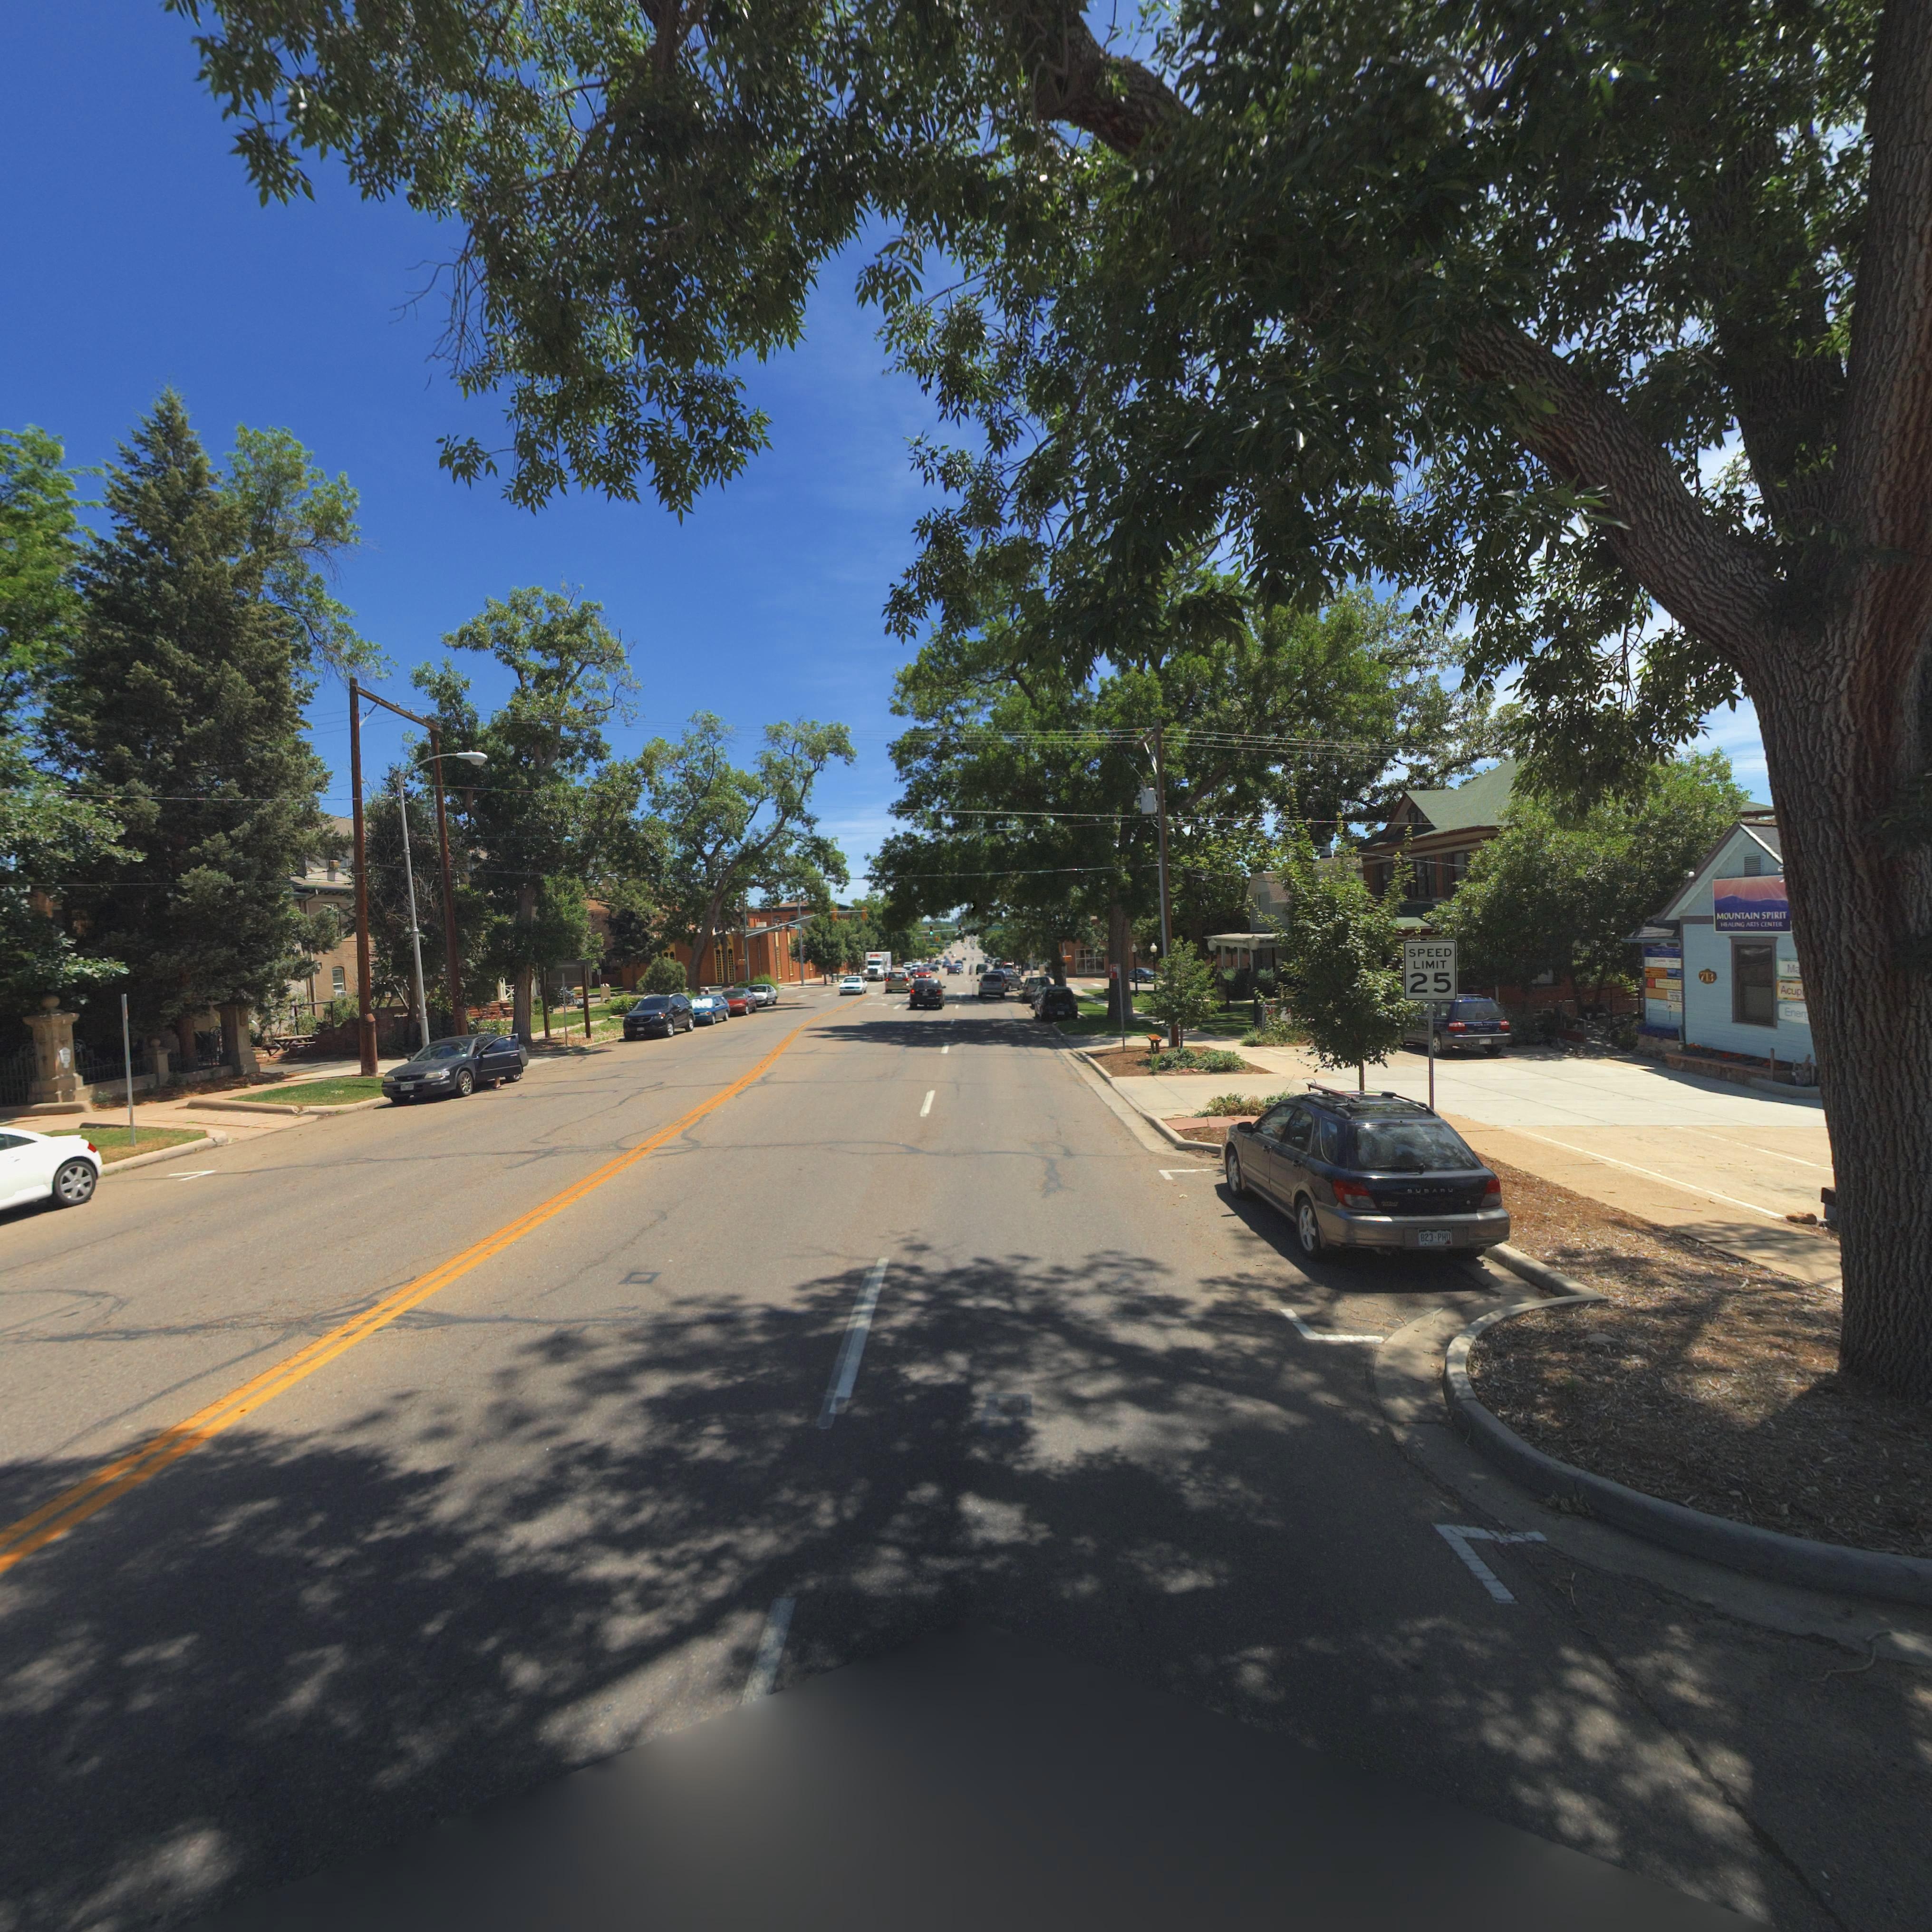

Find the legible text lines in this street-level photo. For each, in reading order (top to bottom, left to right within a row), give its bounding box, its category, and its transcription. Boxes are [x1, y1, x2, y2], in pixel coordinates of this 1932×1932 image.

[1717, 911, 1787, 920] BusinessName: MOUNTAIN SPIRIT
[1720, 921, 1783, 927] BusinessName: HEALING ARTS CENTER
[1699, 972, 1714, 982] StreetNumber: 713